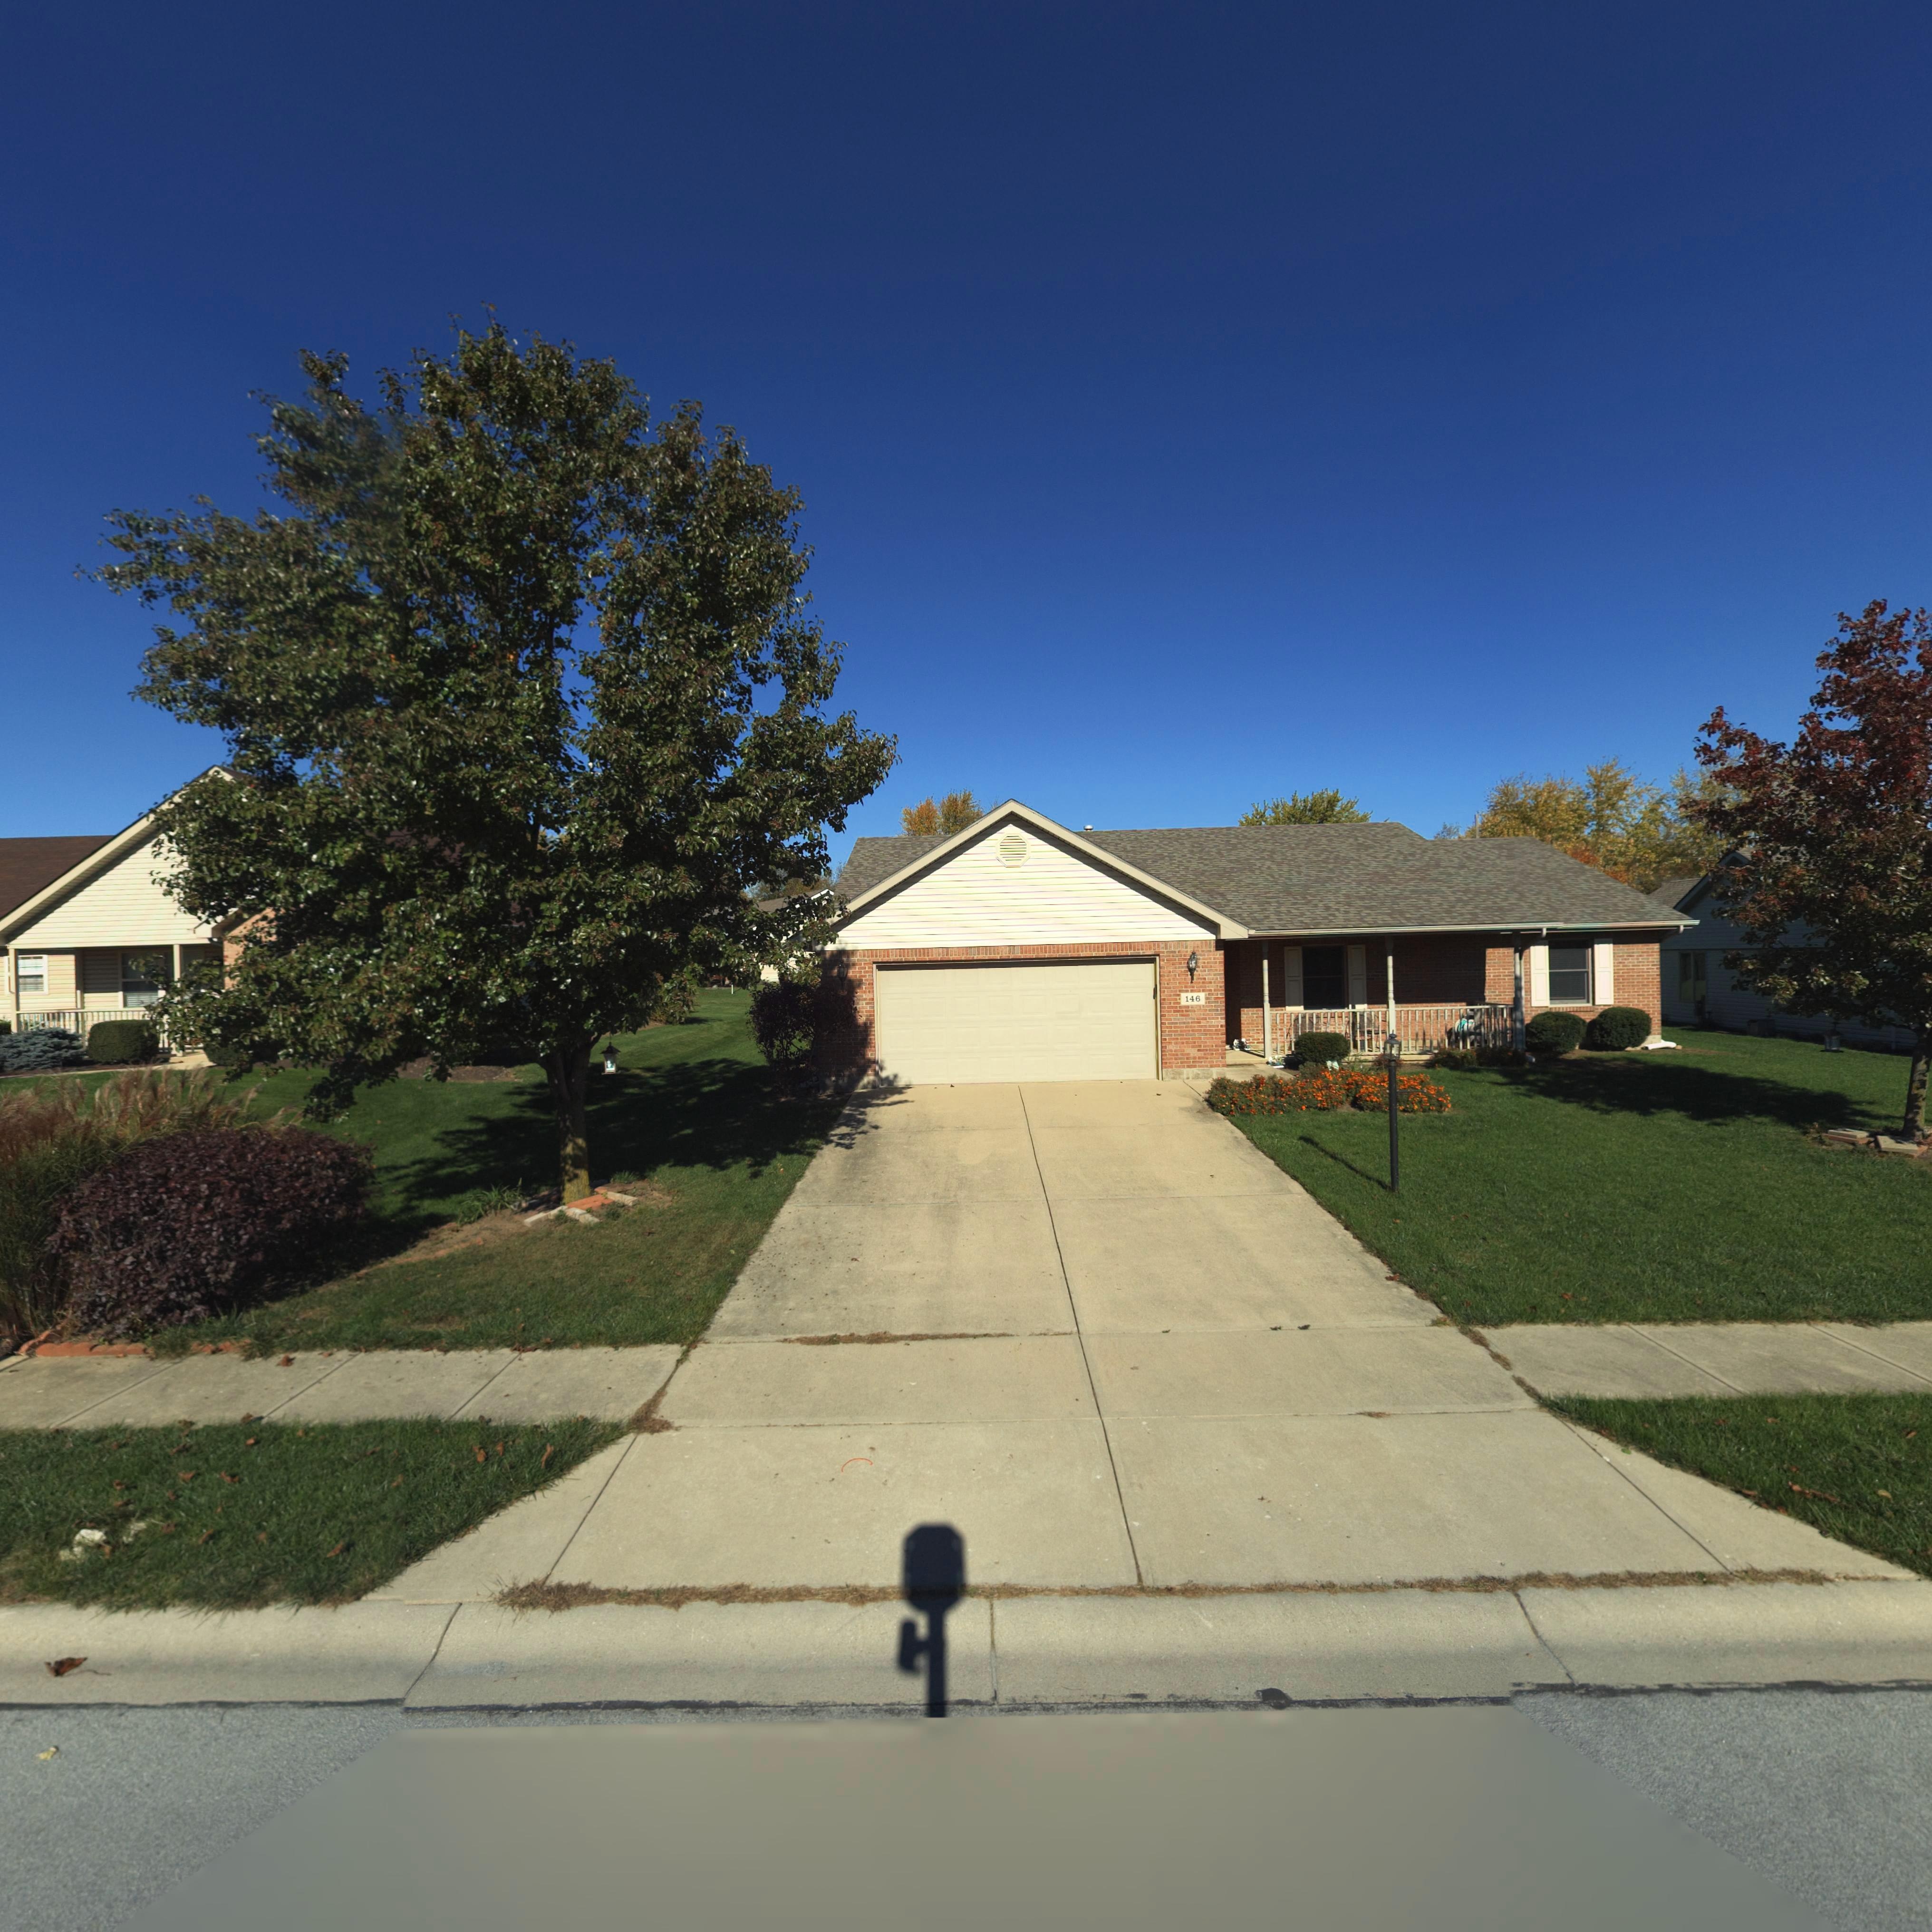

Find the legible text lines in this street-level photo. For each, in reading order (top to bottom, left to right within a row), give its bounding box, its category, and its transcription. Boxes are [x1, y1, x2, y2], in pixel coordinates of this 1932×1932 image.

[1185, 995, 1201, 1002] StreetNumber: 146